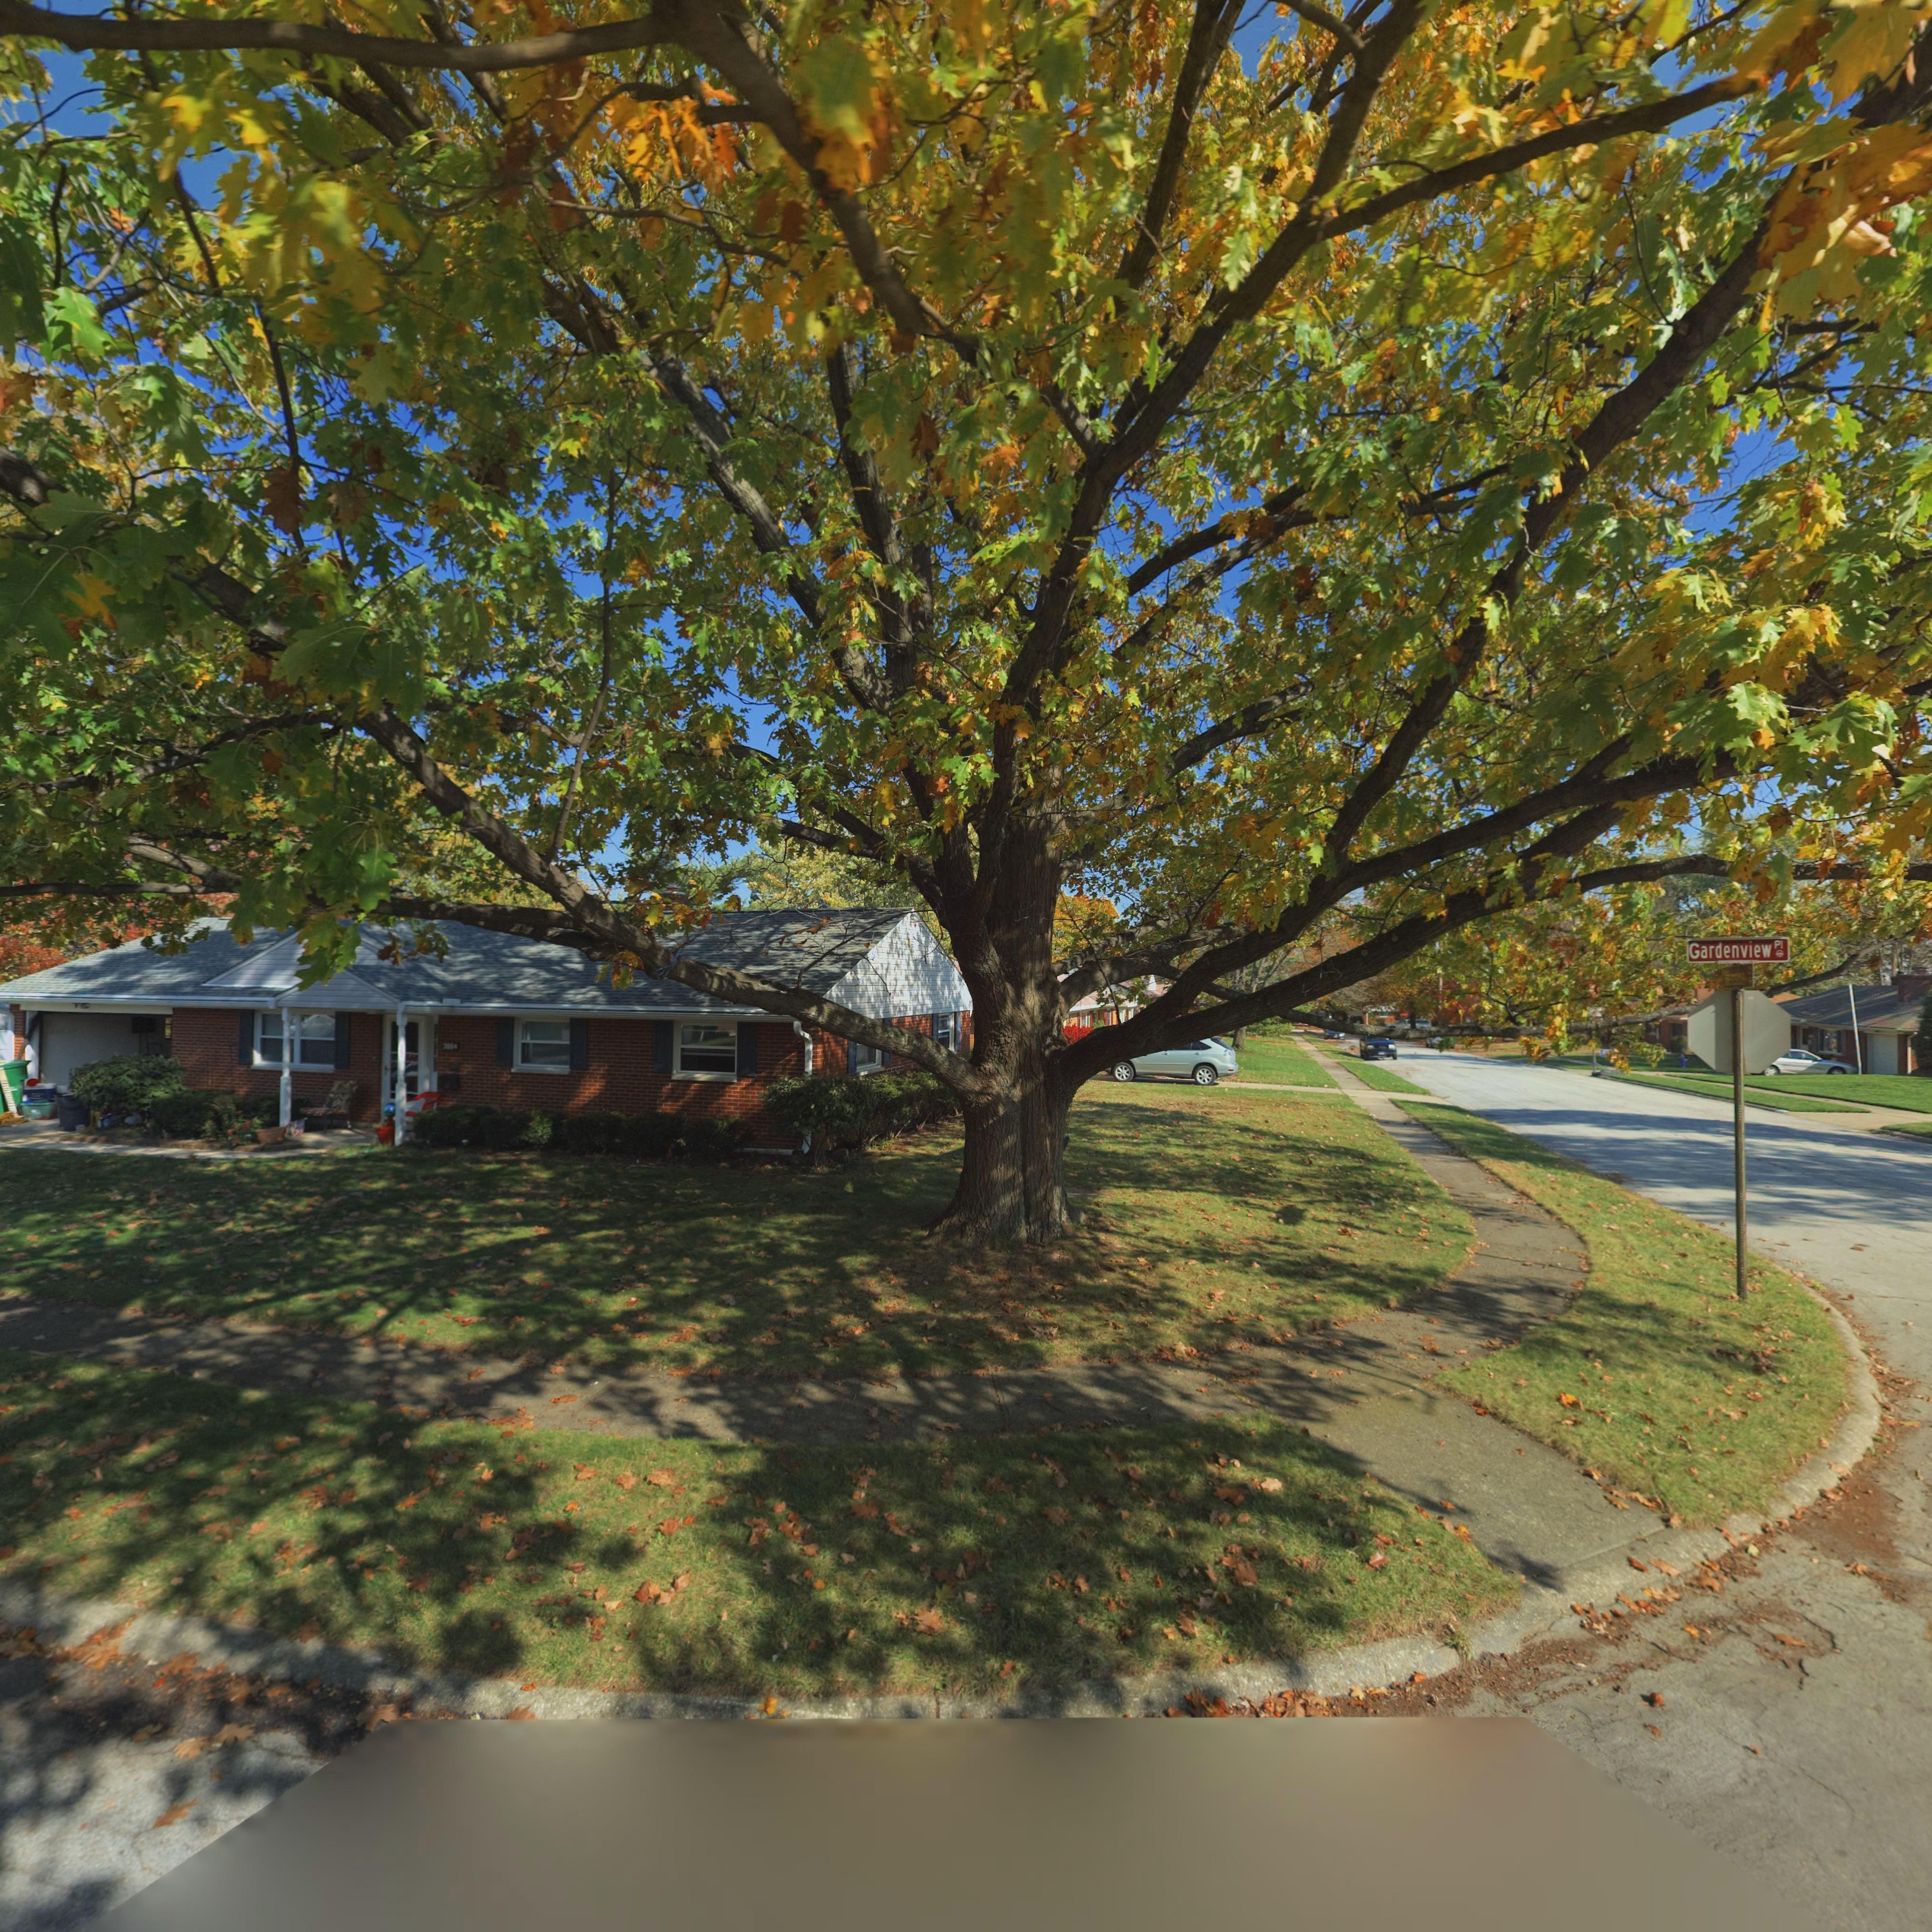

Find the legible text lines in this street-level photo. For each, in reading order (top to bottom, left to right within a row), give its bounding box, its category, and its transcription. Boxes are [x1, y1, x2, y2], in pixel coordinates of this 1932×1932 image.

[1688, 938, 1784, 960] StreetName: Gardenview Pl
[442, 1042, 458, 1050] StreetNumber: 3***4